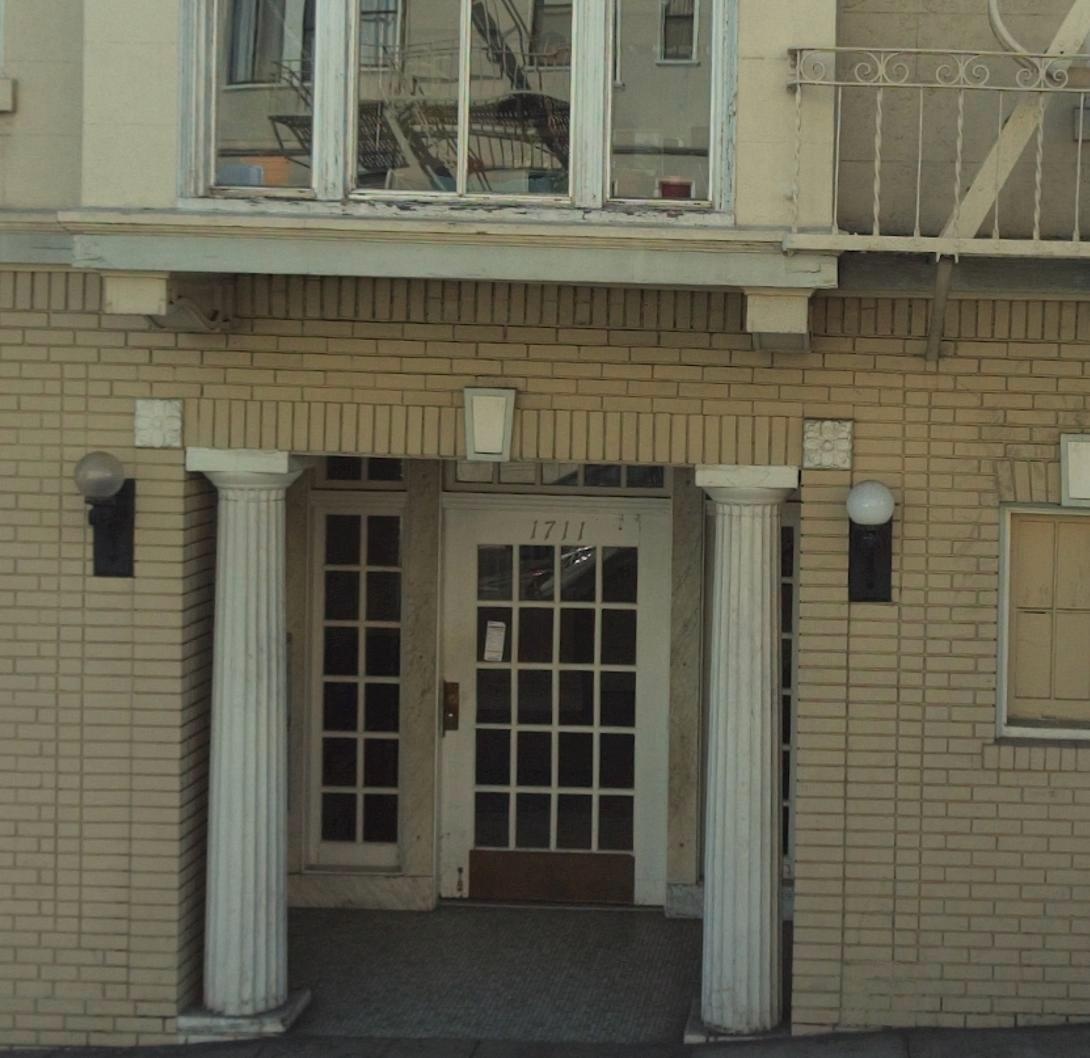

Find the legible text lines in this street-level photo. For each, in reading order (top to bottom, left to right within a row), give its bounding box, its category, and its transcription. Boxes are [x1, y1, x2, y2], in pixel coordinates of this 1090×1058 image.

[528, 518, 588, 543] StreetNumber: 1711